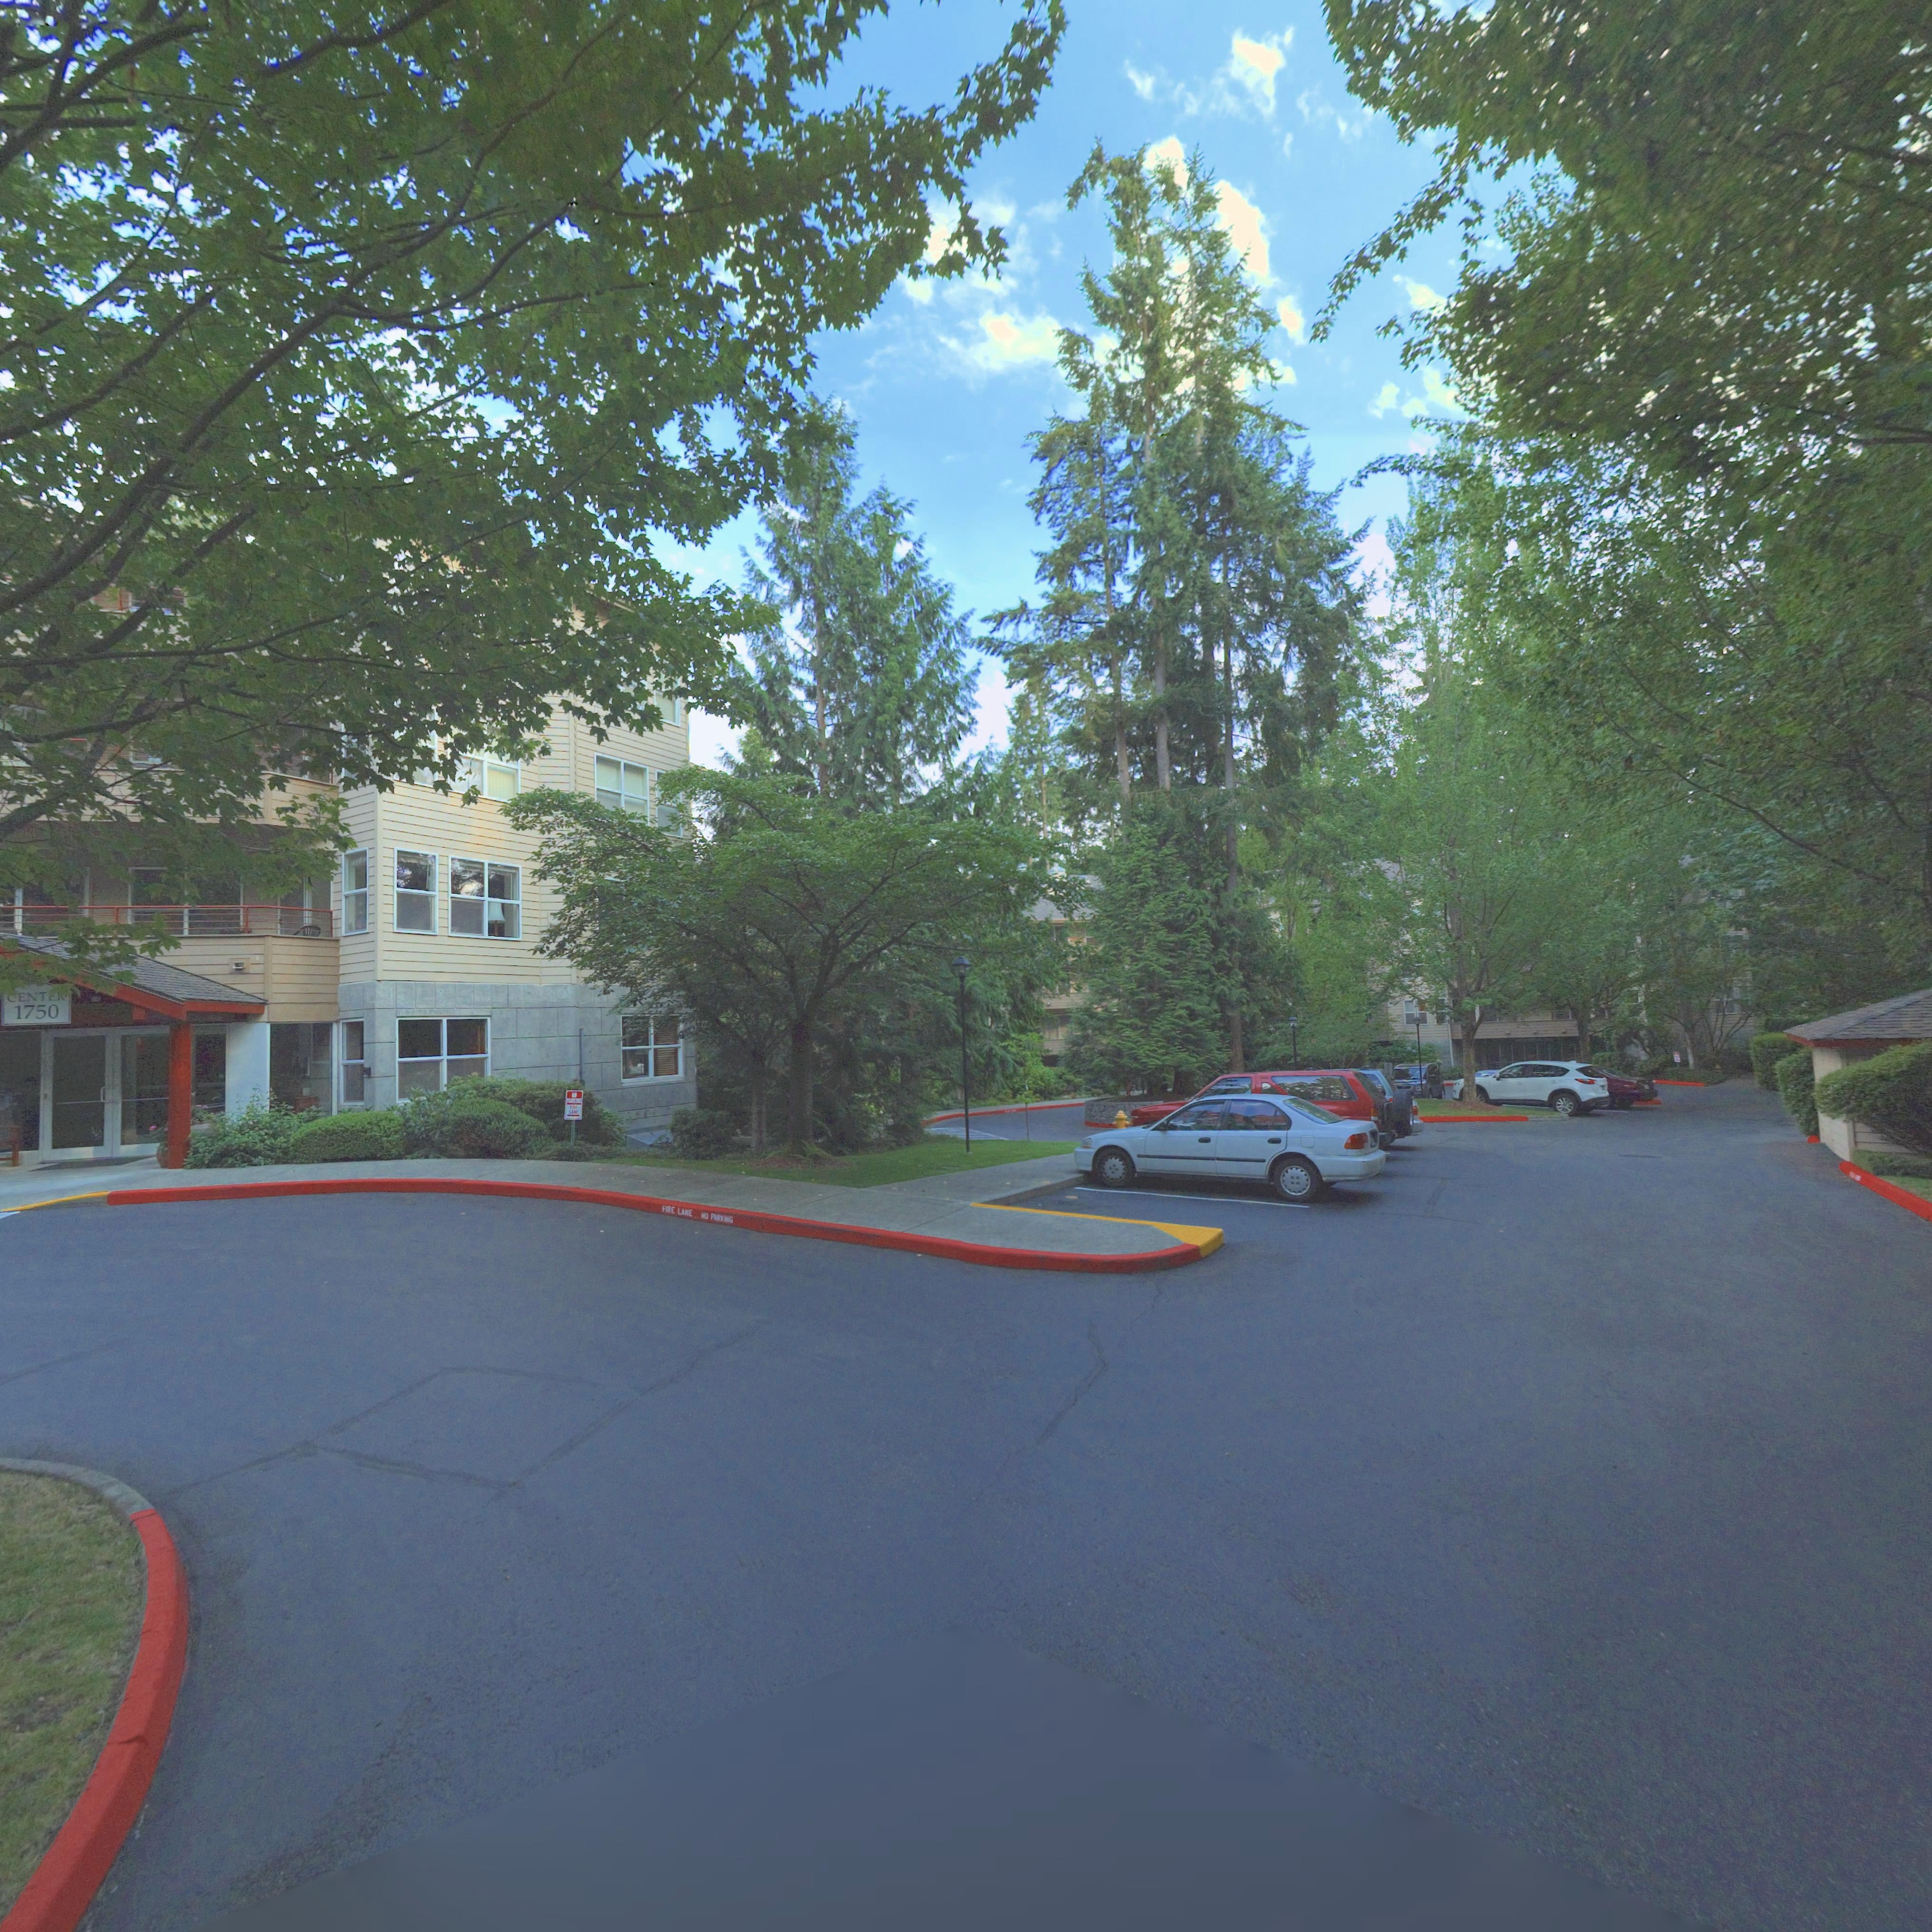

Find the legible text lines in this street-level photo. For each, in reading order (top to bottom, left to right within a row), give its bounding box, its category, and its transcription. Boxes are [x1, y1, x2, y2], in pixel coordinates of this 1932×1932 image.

[7, 989, 66, 1003] SecondaryUnitDesignator: CENTER
[14, 1005, 59, 1019] StreetNumber: 1750